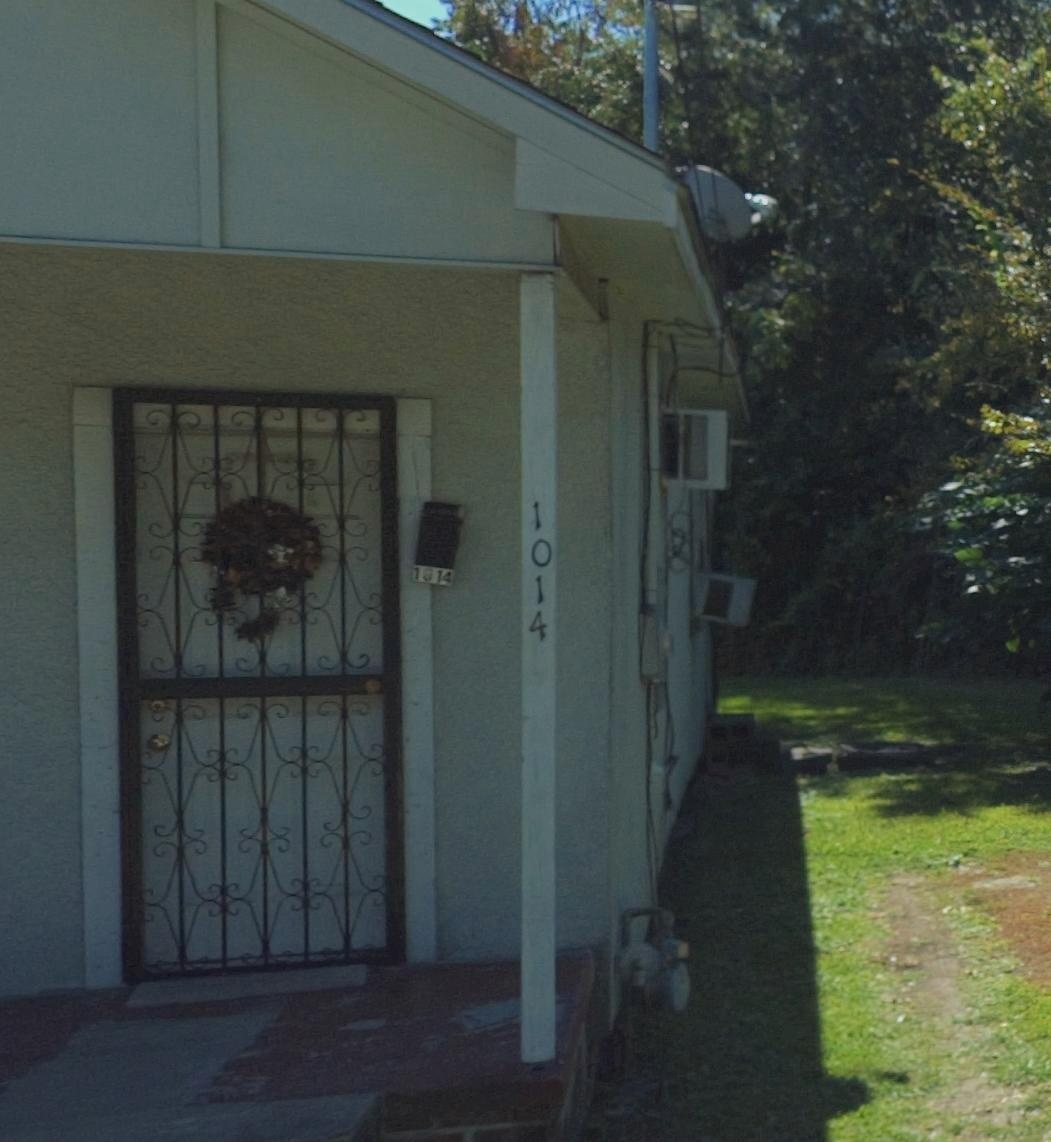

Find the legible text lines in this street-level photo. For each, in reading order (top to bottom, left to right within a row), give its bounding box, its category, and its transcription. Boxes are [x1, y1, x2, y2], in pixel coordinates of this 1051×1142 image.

[412, 564, 453, 589] StreetNumber: 1014
[527, 498, 555, 644] StreetNumber: 1014